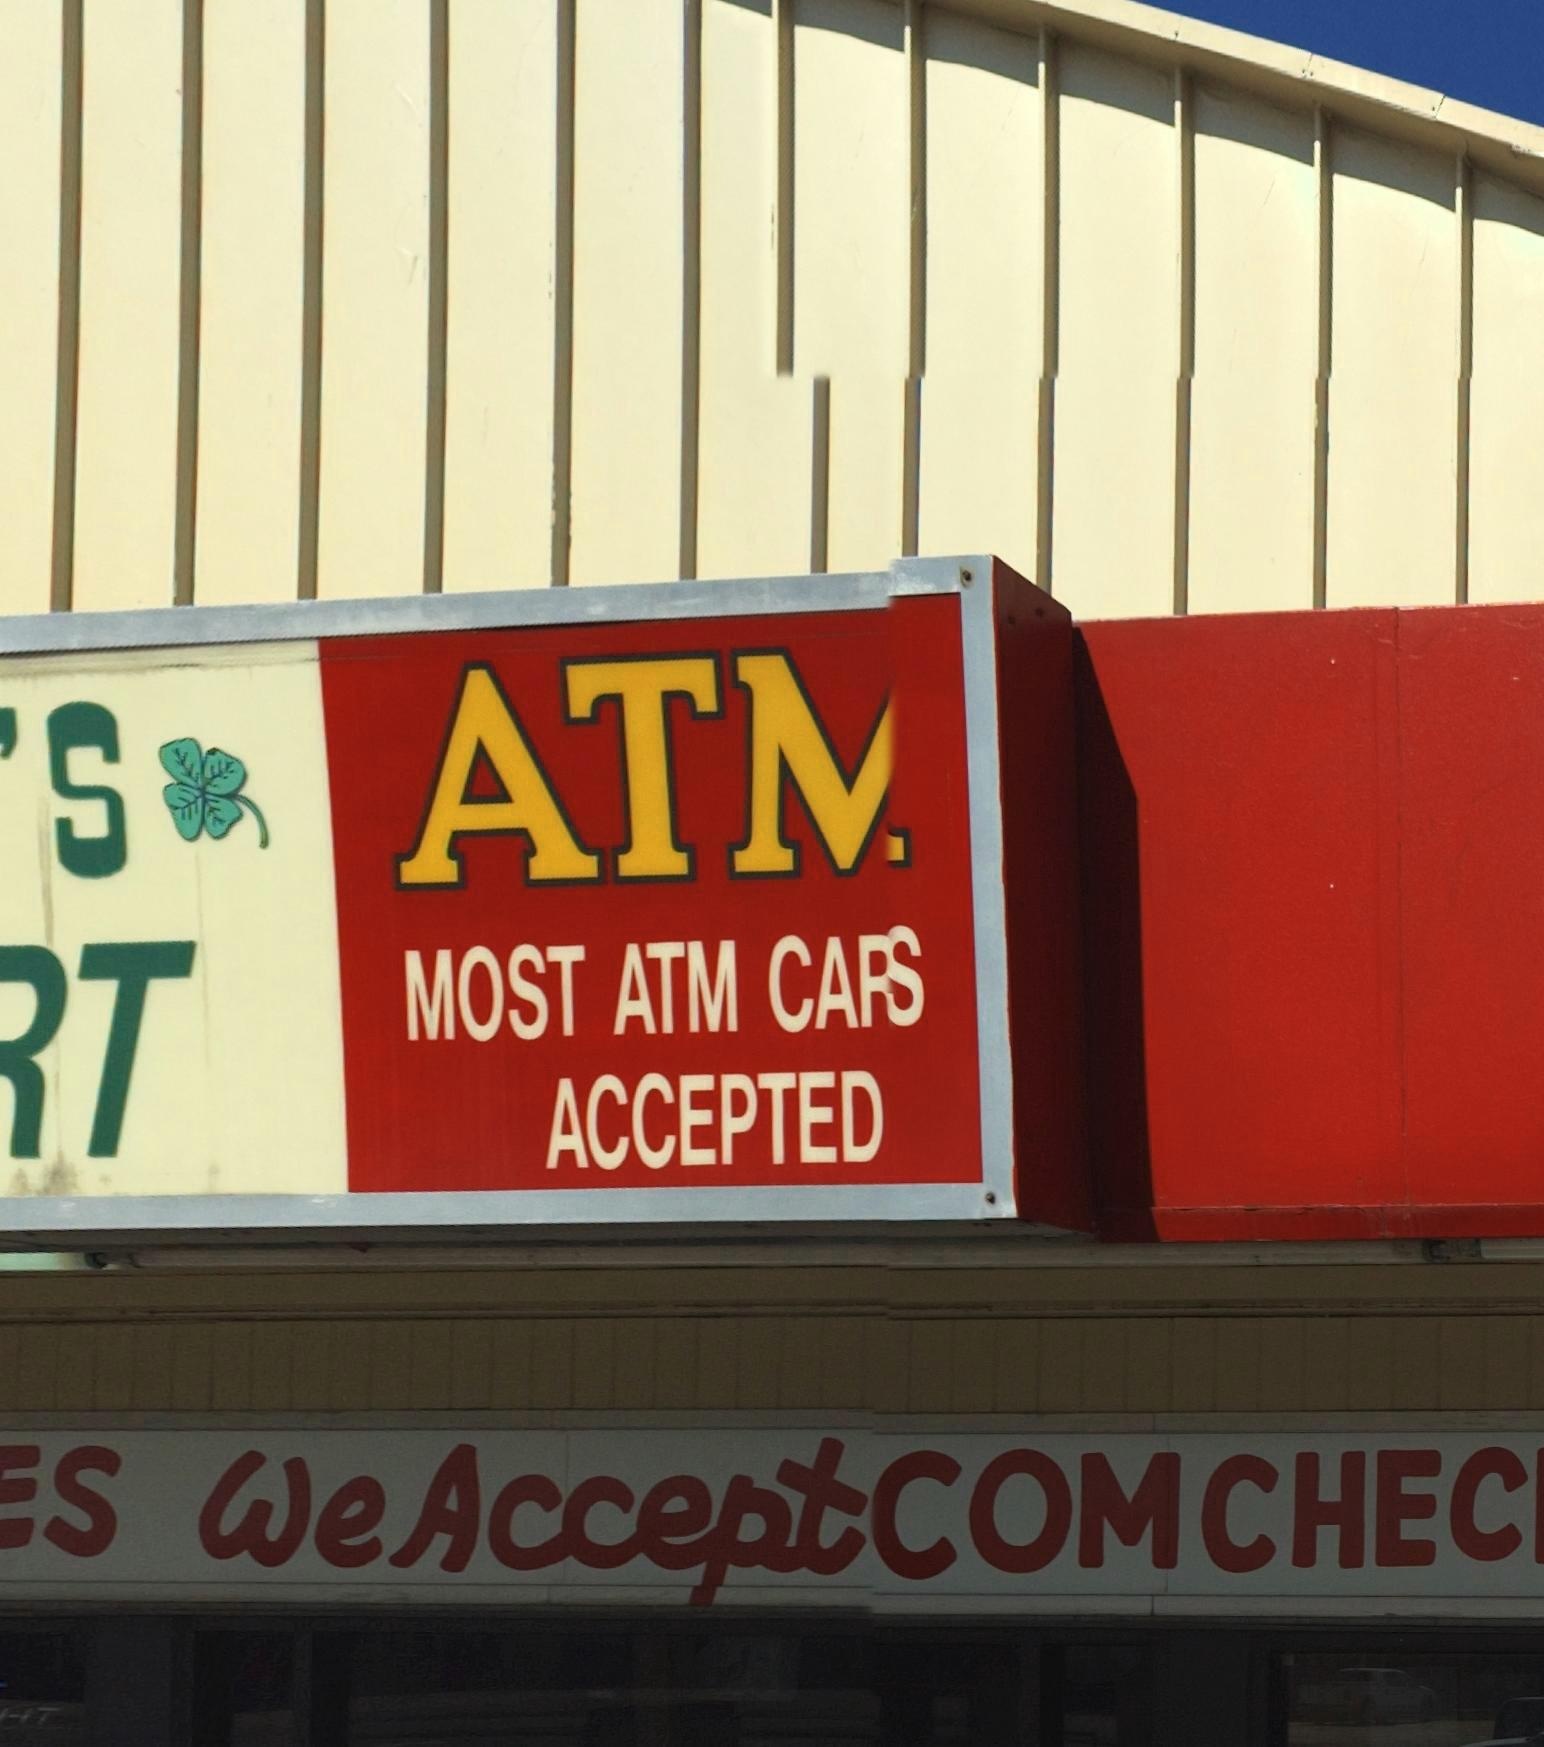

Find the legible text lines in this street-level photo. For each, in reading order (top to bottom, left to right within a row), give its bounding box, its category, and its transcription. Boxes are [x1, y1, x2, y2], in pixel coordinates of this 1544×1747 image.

[40, 695, 135, 892] None: S
[377, 644, 734, 895] None: Mr. lucky's Speed Mart
[61, 936, 203, 1169] None: T
[401, 921, 931, 1047] None: MOST ATM CA*S
[539, 1061, 889, 1174] None: ACCEPTED
[33, 1423, 1527, 1605] None: S WeAcceptCOMCHEC